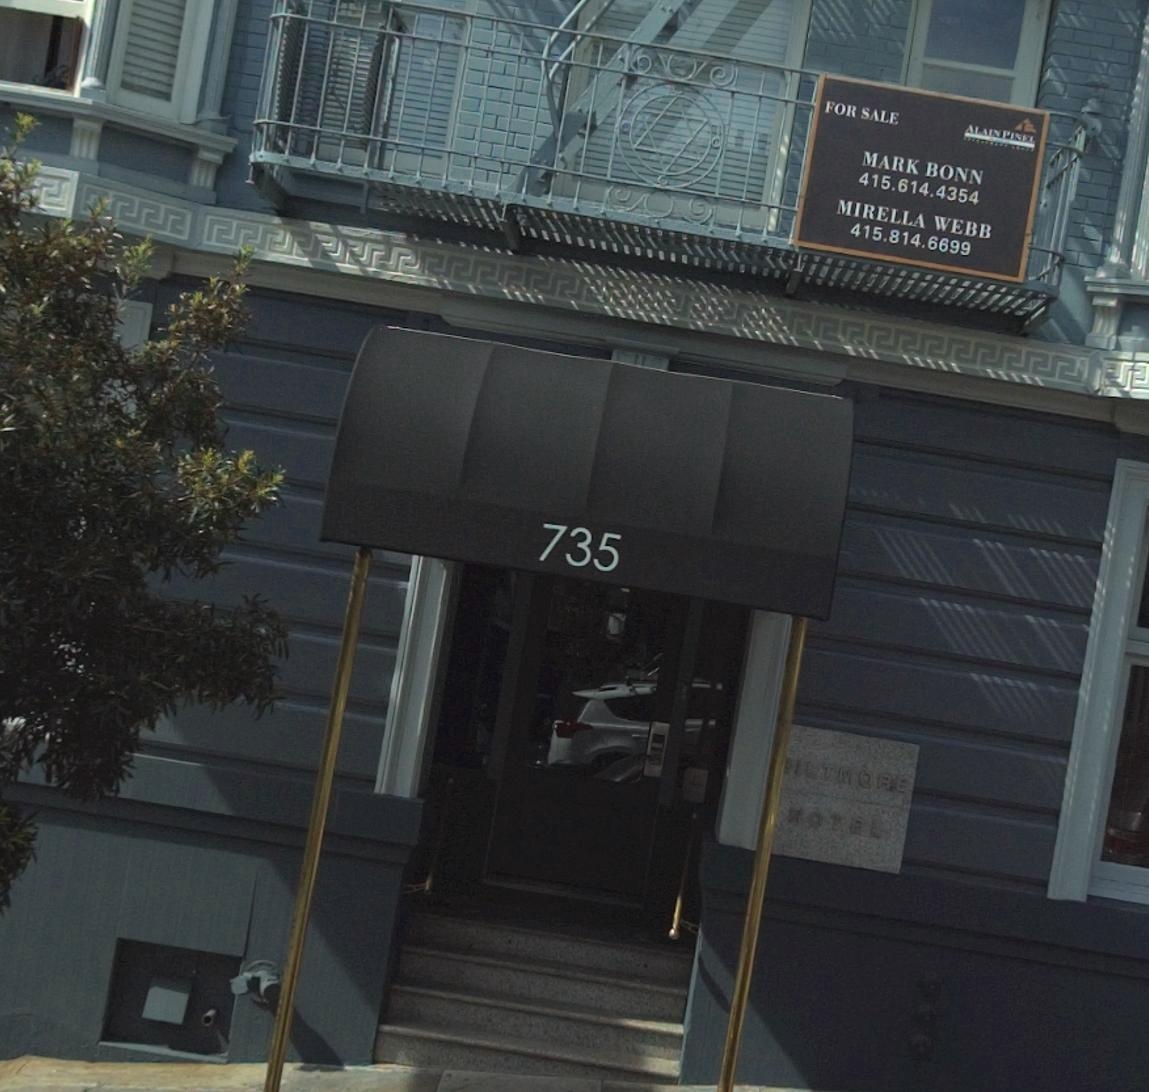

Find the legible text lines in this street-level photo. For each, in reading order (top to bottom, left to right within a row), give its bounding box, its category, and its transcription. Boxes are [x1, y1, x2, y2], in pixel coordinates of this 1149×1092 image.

[820, 96, 905, 130] None: FOR SALE
[961, 121, 1038, 149] None: ALAIS PI*EL
[851, 165, 985, 211] None: 415.614.4354
[857, 143, 988, 192] None: MARK BONN
[844, 217, 974, 259] None: 415.814.6699
[833, 194, 996, 244] None: MIRELLA WEBB
[534, 517, 627, 582] StreetNumber: 735
[801, 756, 912, 798] BusinessName: LTMORE
[805, 807, 885, 844] BusinessName: OTEL